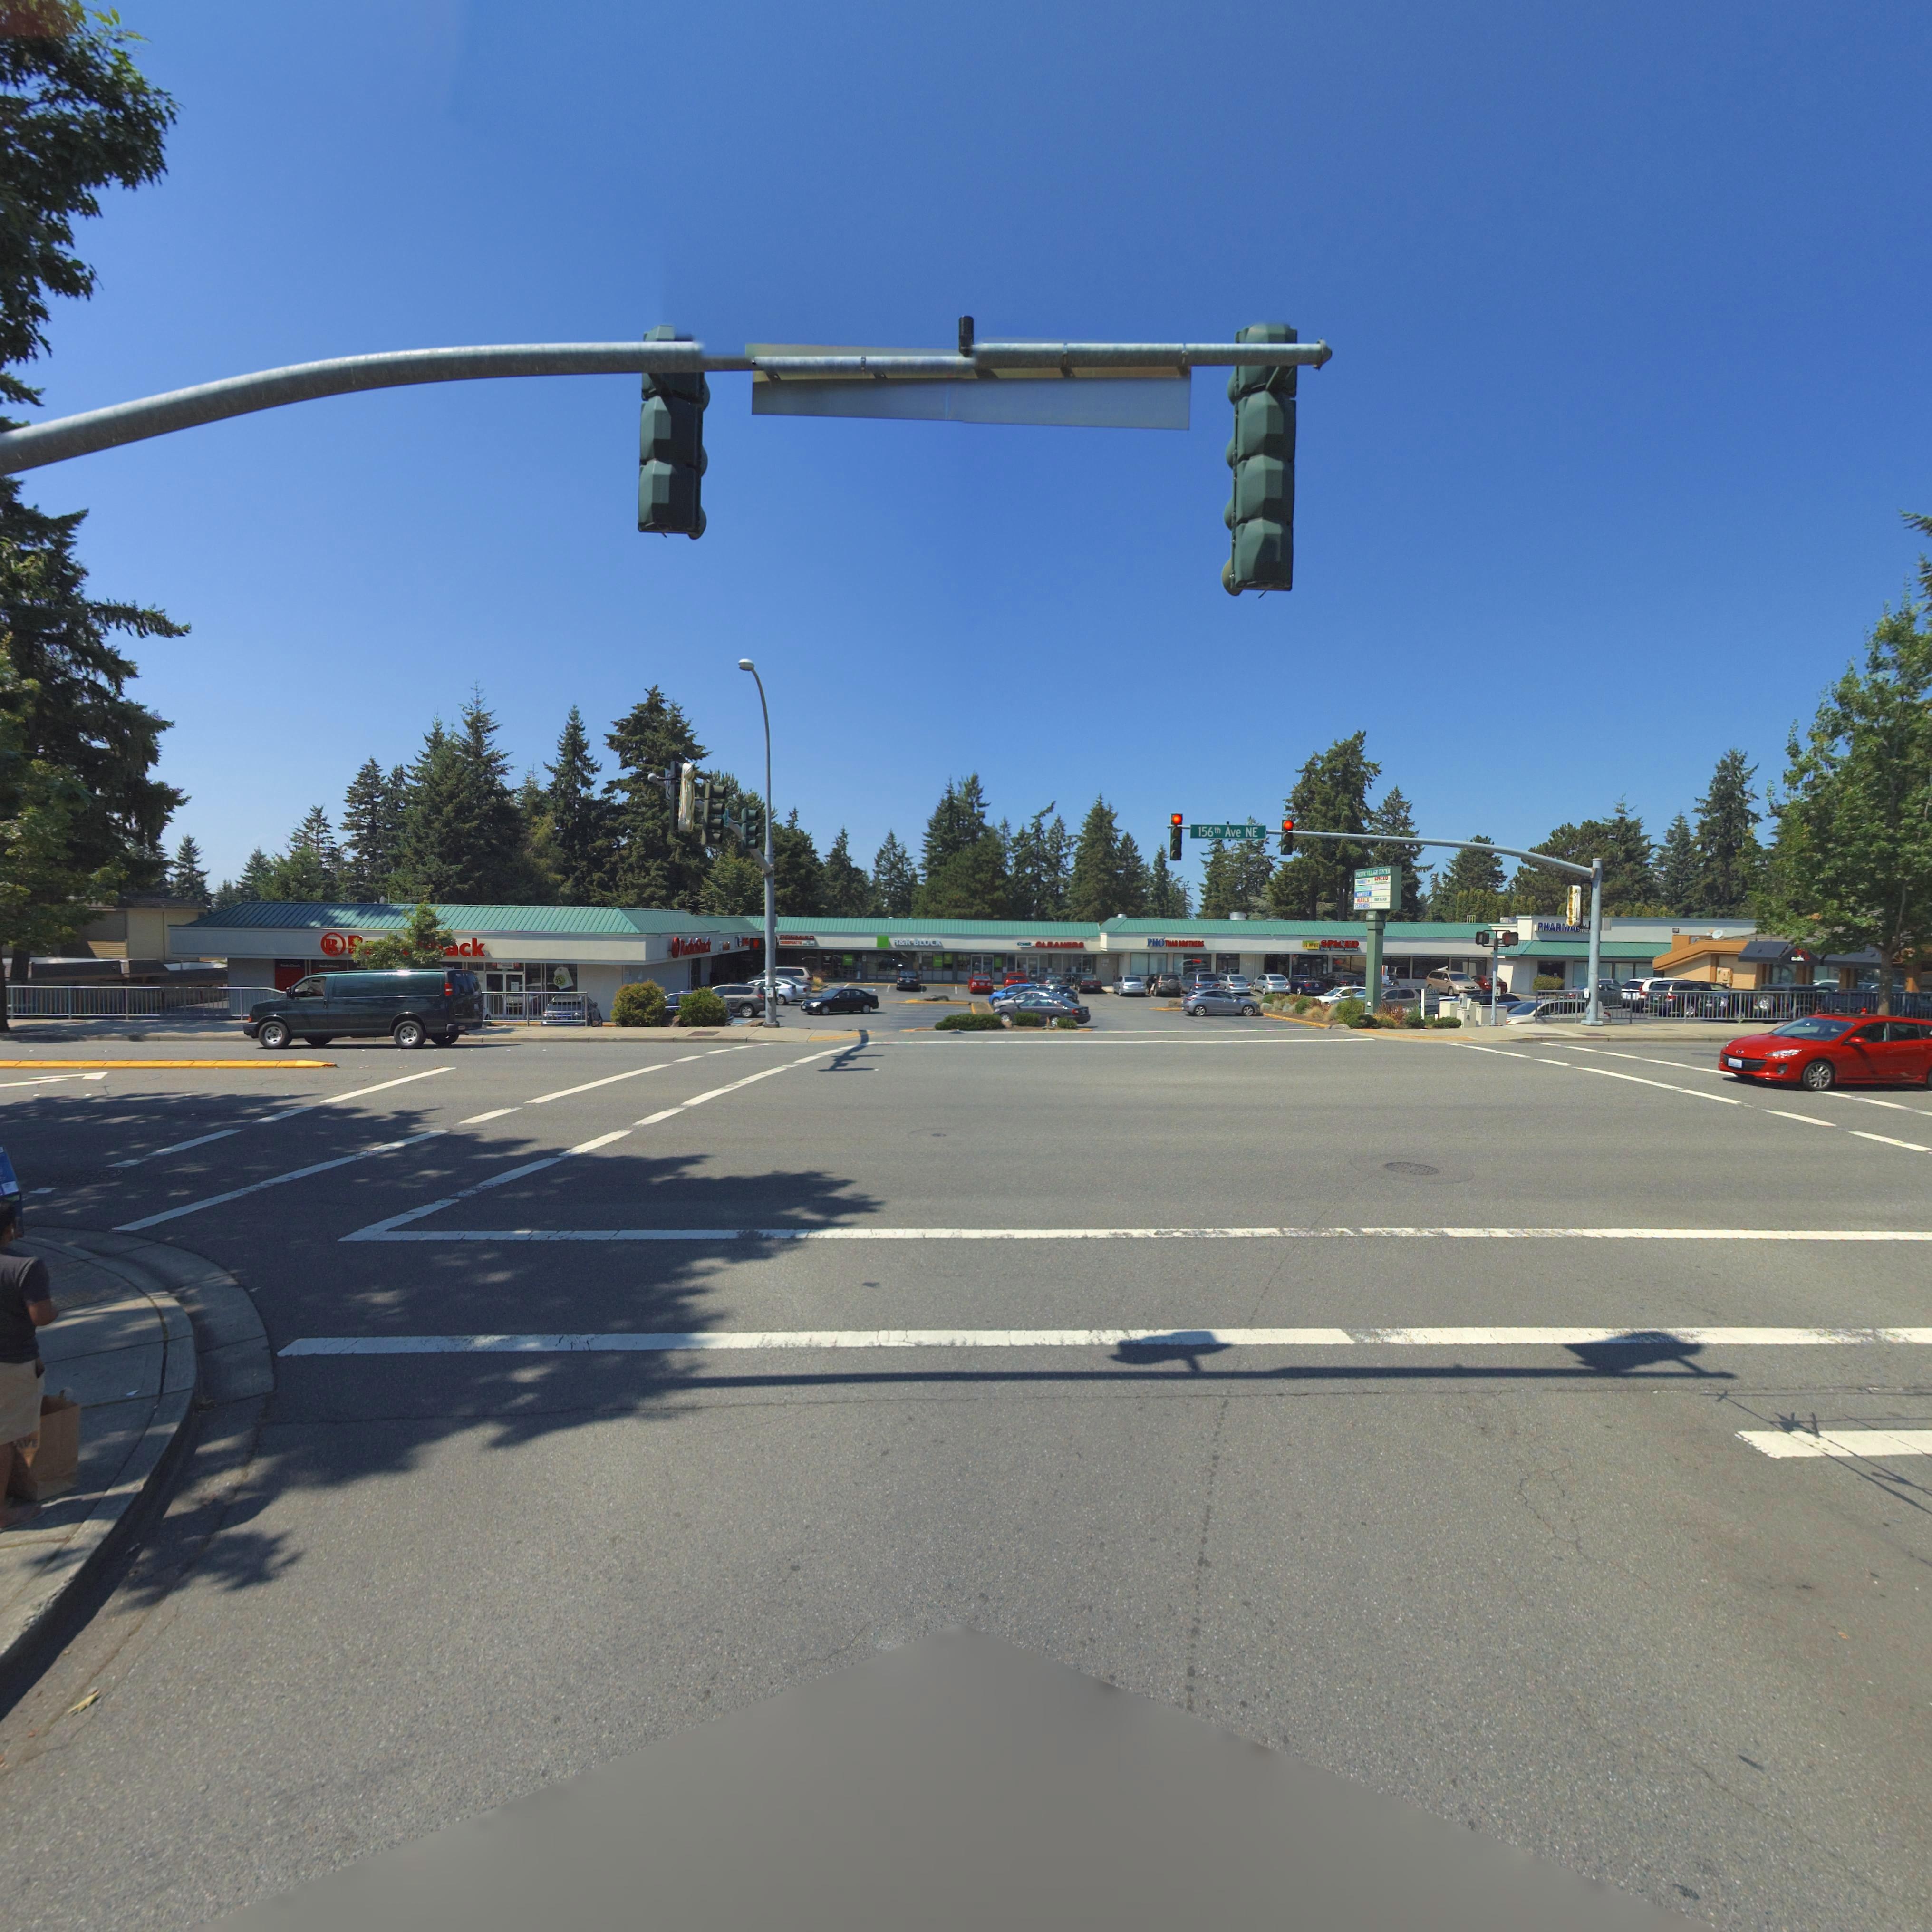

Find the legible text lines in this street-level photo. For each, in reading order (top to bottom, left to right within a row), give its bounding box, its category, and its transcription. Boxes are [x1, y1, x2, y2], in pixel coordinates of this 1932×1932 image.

[1198, 826, 1258, 838] StreetName: 156th Ave NE
[1374, 875, 1388, 880] BusinessName: SPICED
[1536, 922, 1569, 932] BusinessName: PHARM
[445, 937, 486, 957] None: ack
[893, 937, 942, 946] BusinessName: H*R BLOCK
[1035, 941, 1084, 948] BusinessName: CLEAN*RS
[1146, 937, 1166, 947] BusinessName: PH*
[1165, 940, 1204, 947] BusinessName: THA* BROTHERS
[1320, 939, 1359, 947] BusinessName: SPICED